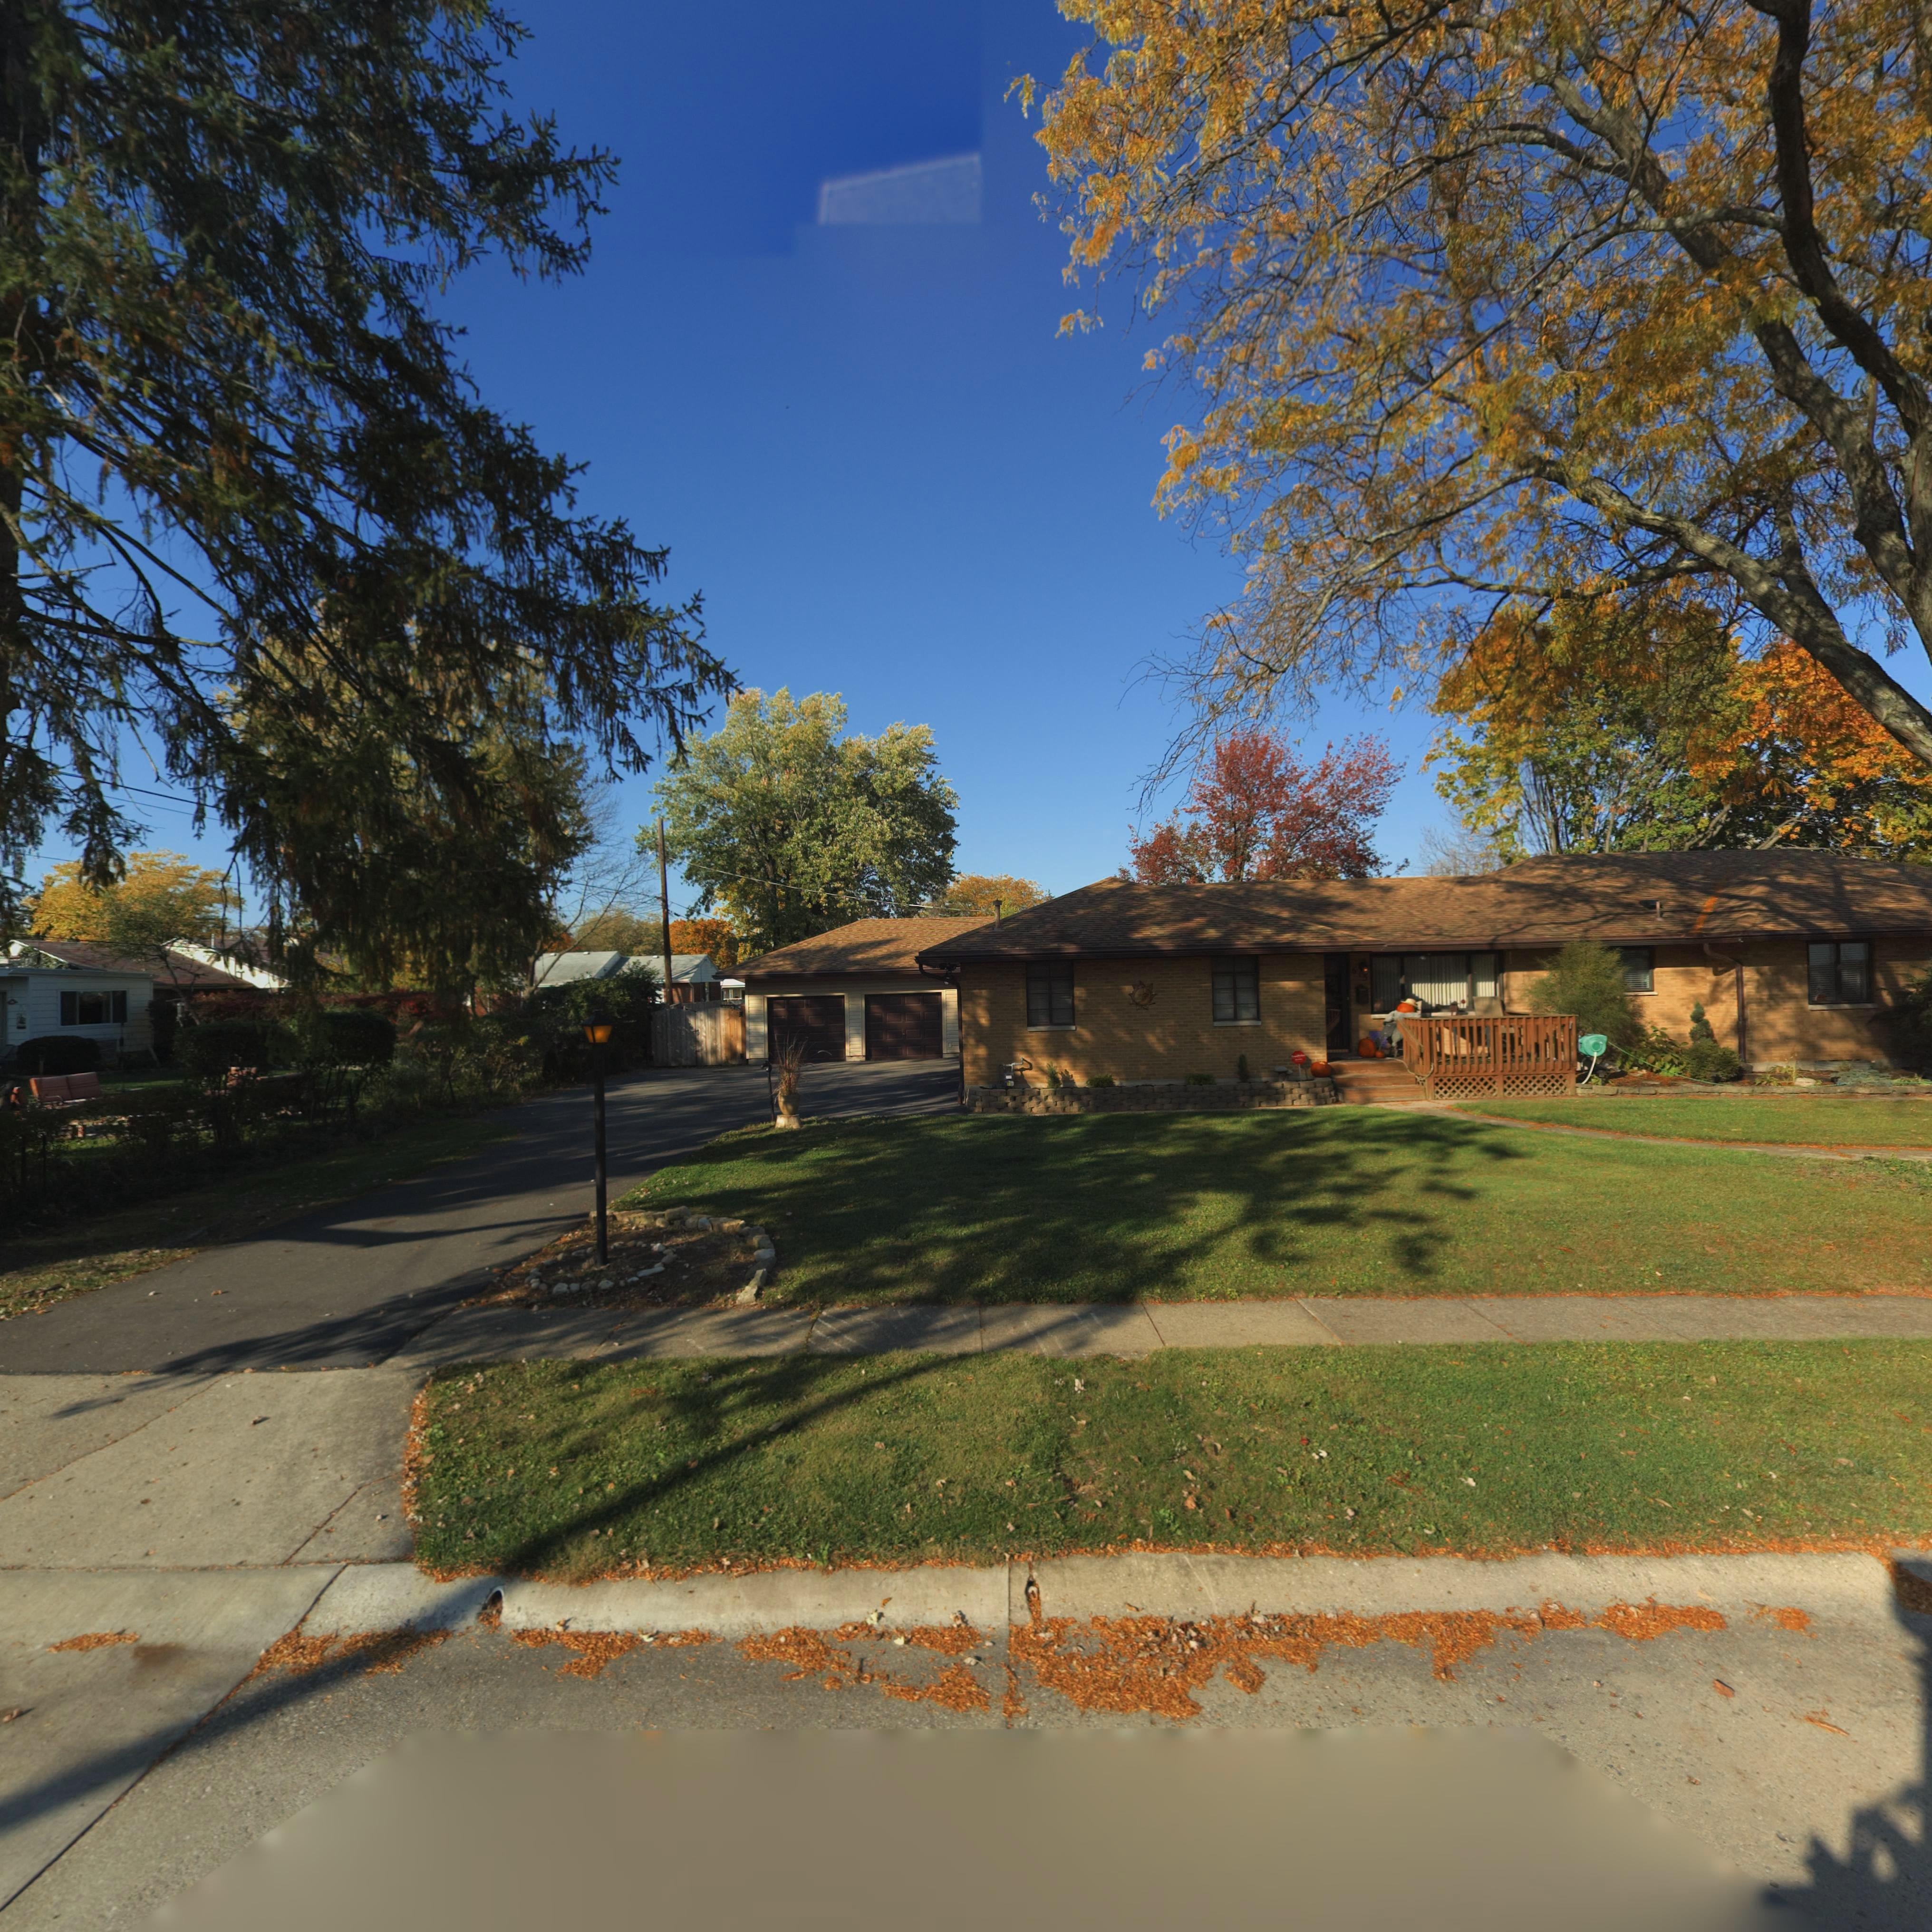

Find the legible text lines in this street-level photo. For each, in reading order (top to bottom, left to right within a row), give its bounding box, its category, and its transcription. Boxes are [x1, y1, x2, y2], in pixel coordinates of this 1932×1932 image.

[1350, 965, 1369, 982] StreetNumber: 615